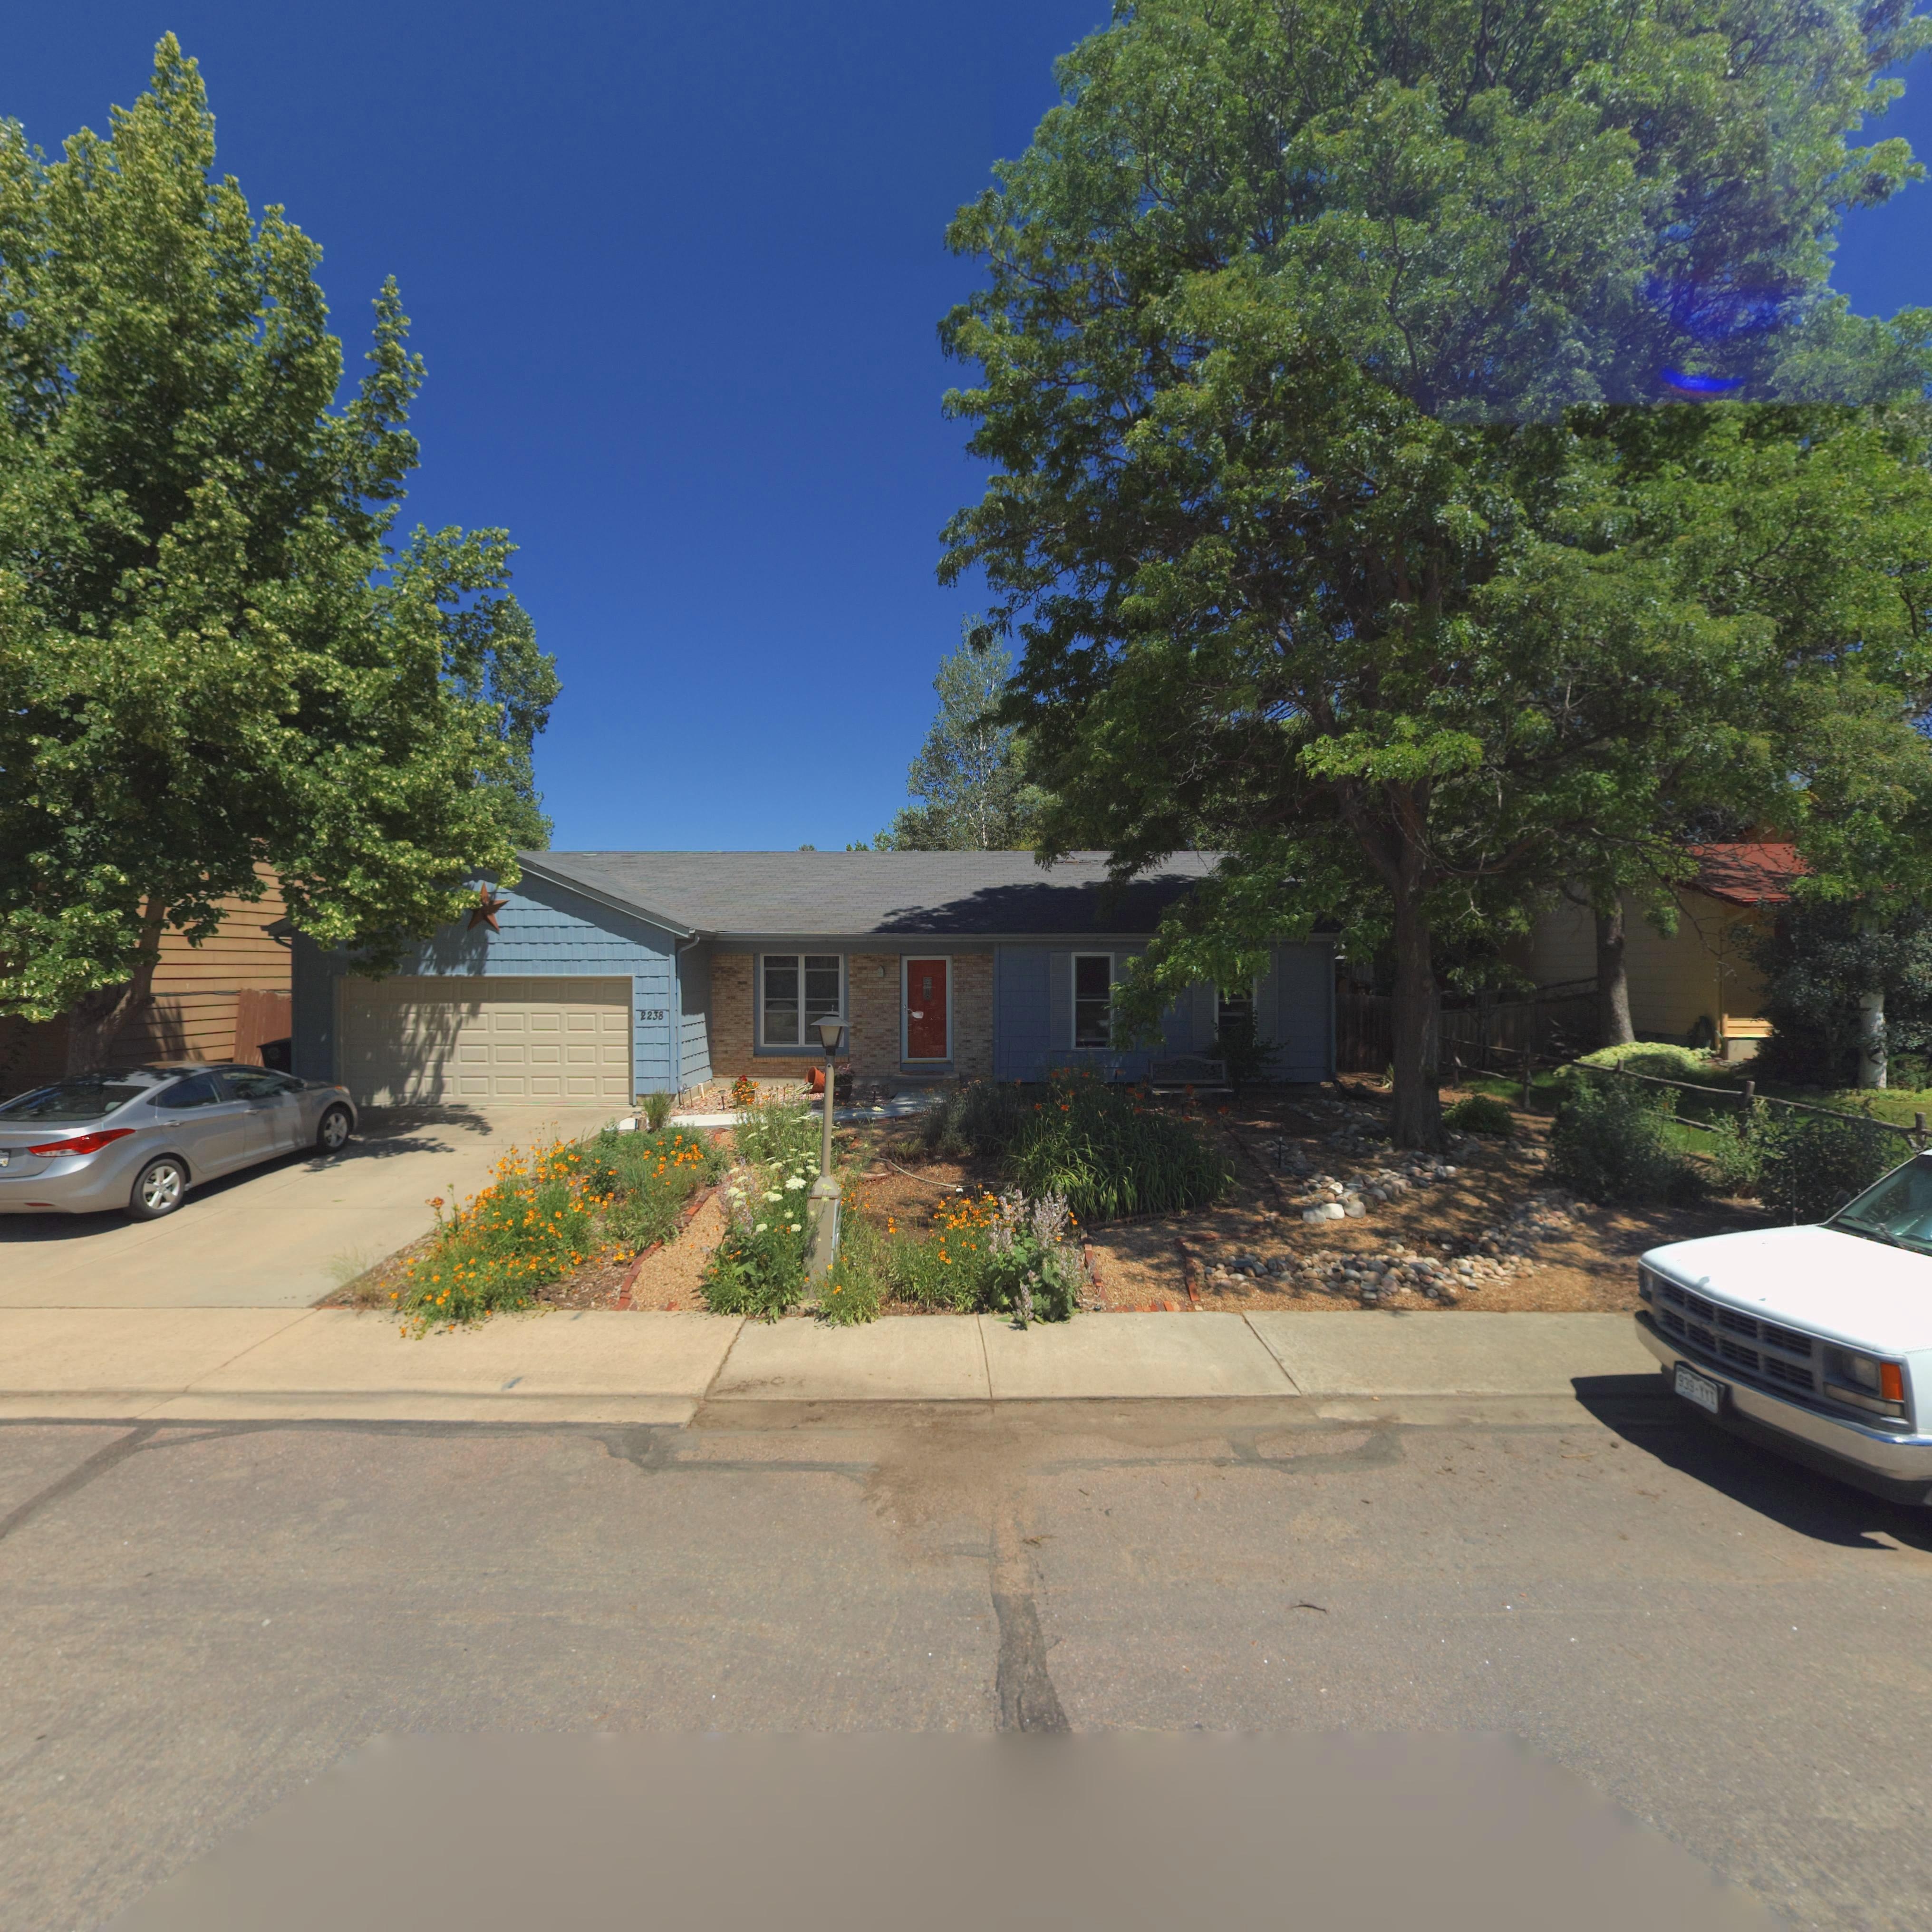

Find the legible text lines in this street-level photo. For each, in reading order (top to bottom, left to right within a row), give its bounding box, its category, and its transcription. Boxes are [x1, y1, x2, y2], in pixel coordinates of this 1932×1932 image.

[639, 1011, 664, 1021] StreetNumber: 2238